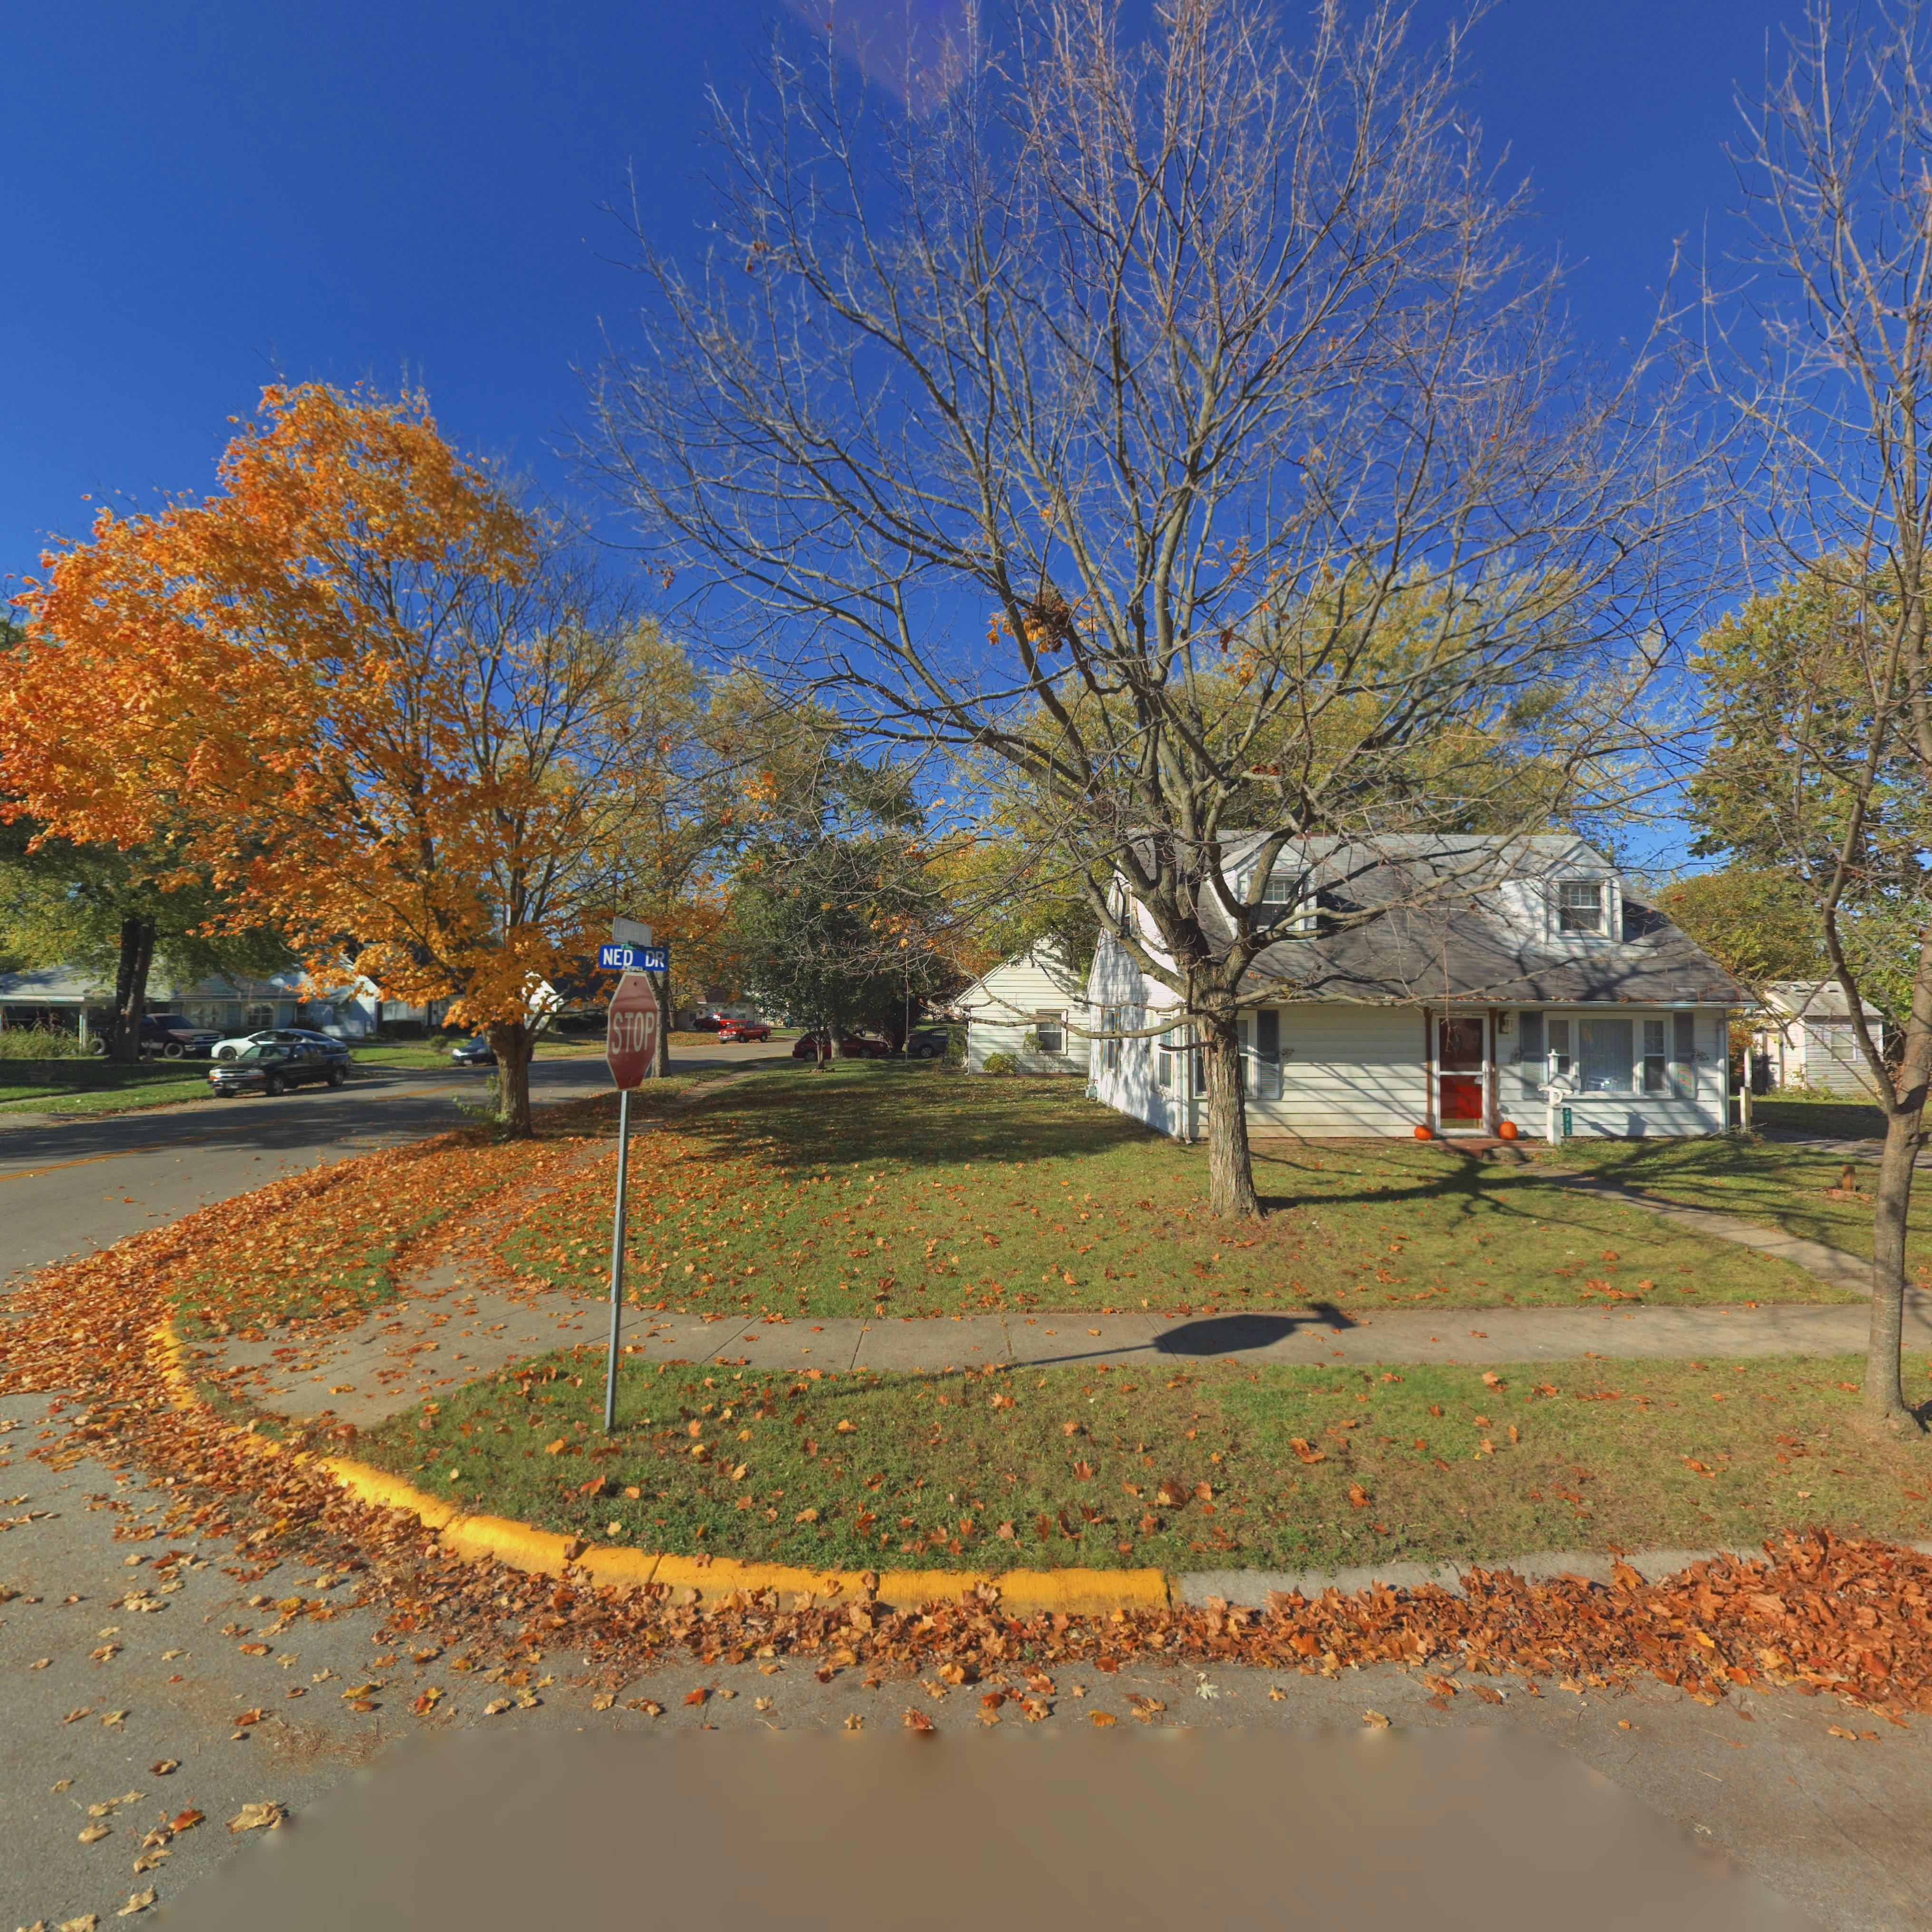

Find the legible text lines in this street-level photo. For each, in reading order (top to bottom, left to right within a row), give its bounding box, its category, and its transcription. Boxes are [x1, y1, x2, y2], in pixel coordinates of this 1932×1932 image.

[1563, 1108, 1571, 1135] StreetNumber: 2310